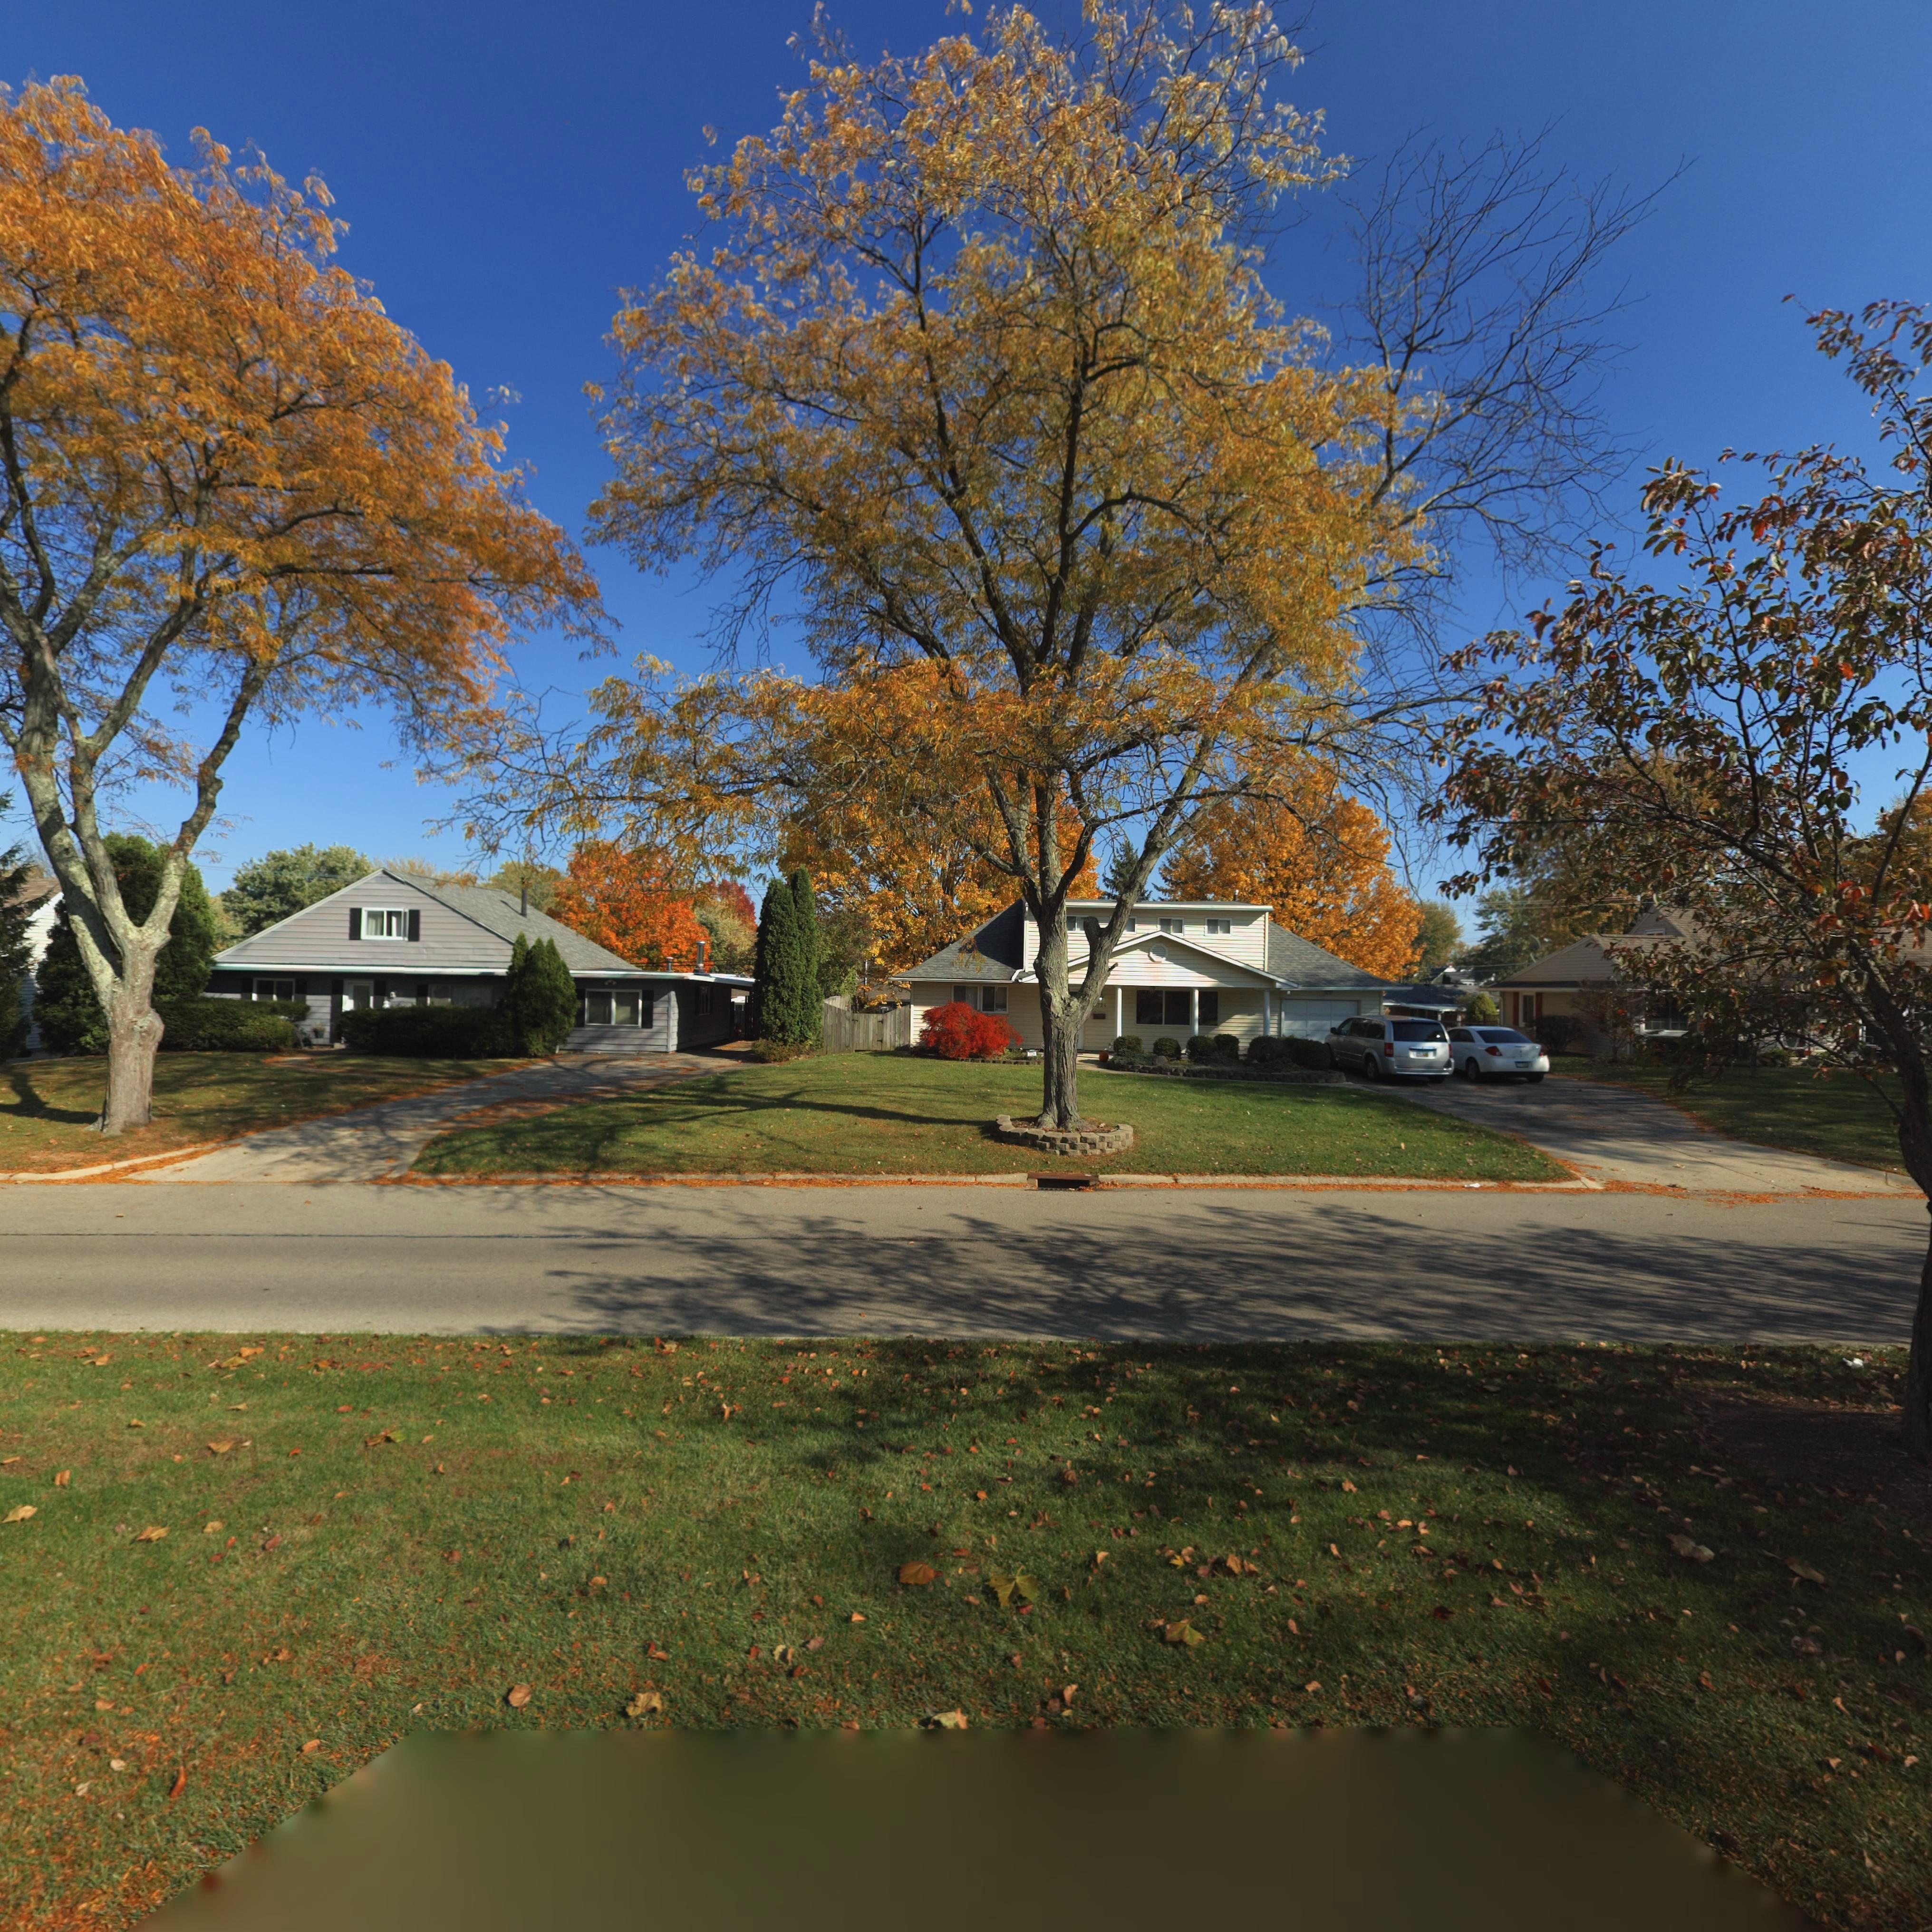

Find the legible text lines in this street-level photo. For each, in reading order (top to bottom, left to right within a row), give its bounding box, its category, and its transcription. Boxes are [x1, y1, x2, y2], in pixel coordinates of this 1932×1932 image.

[1097, 1003, 1106, 1007] StreetNumber: 724